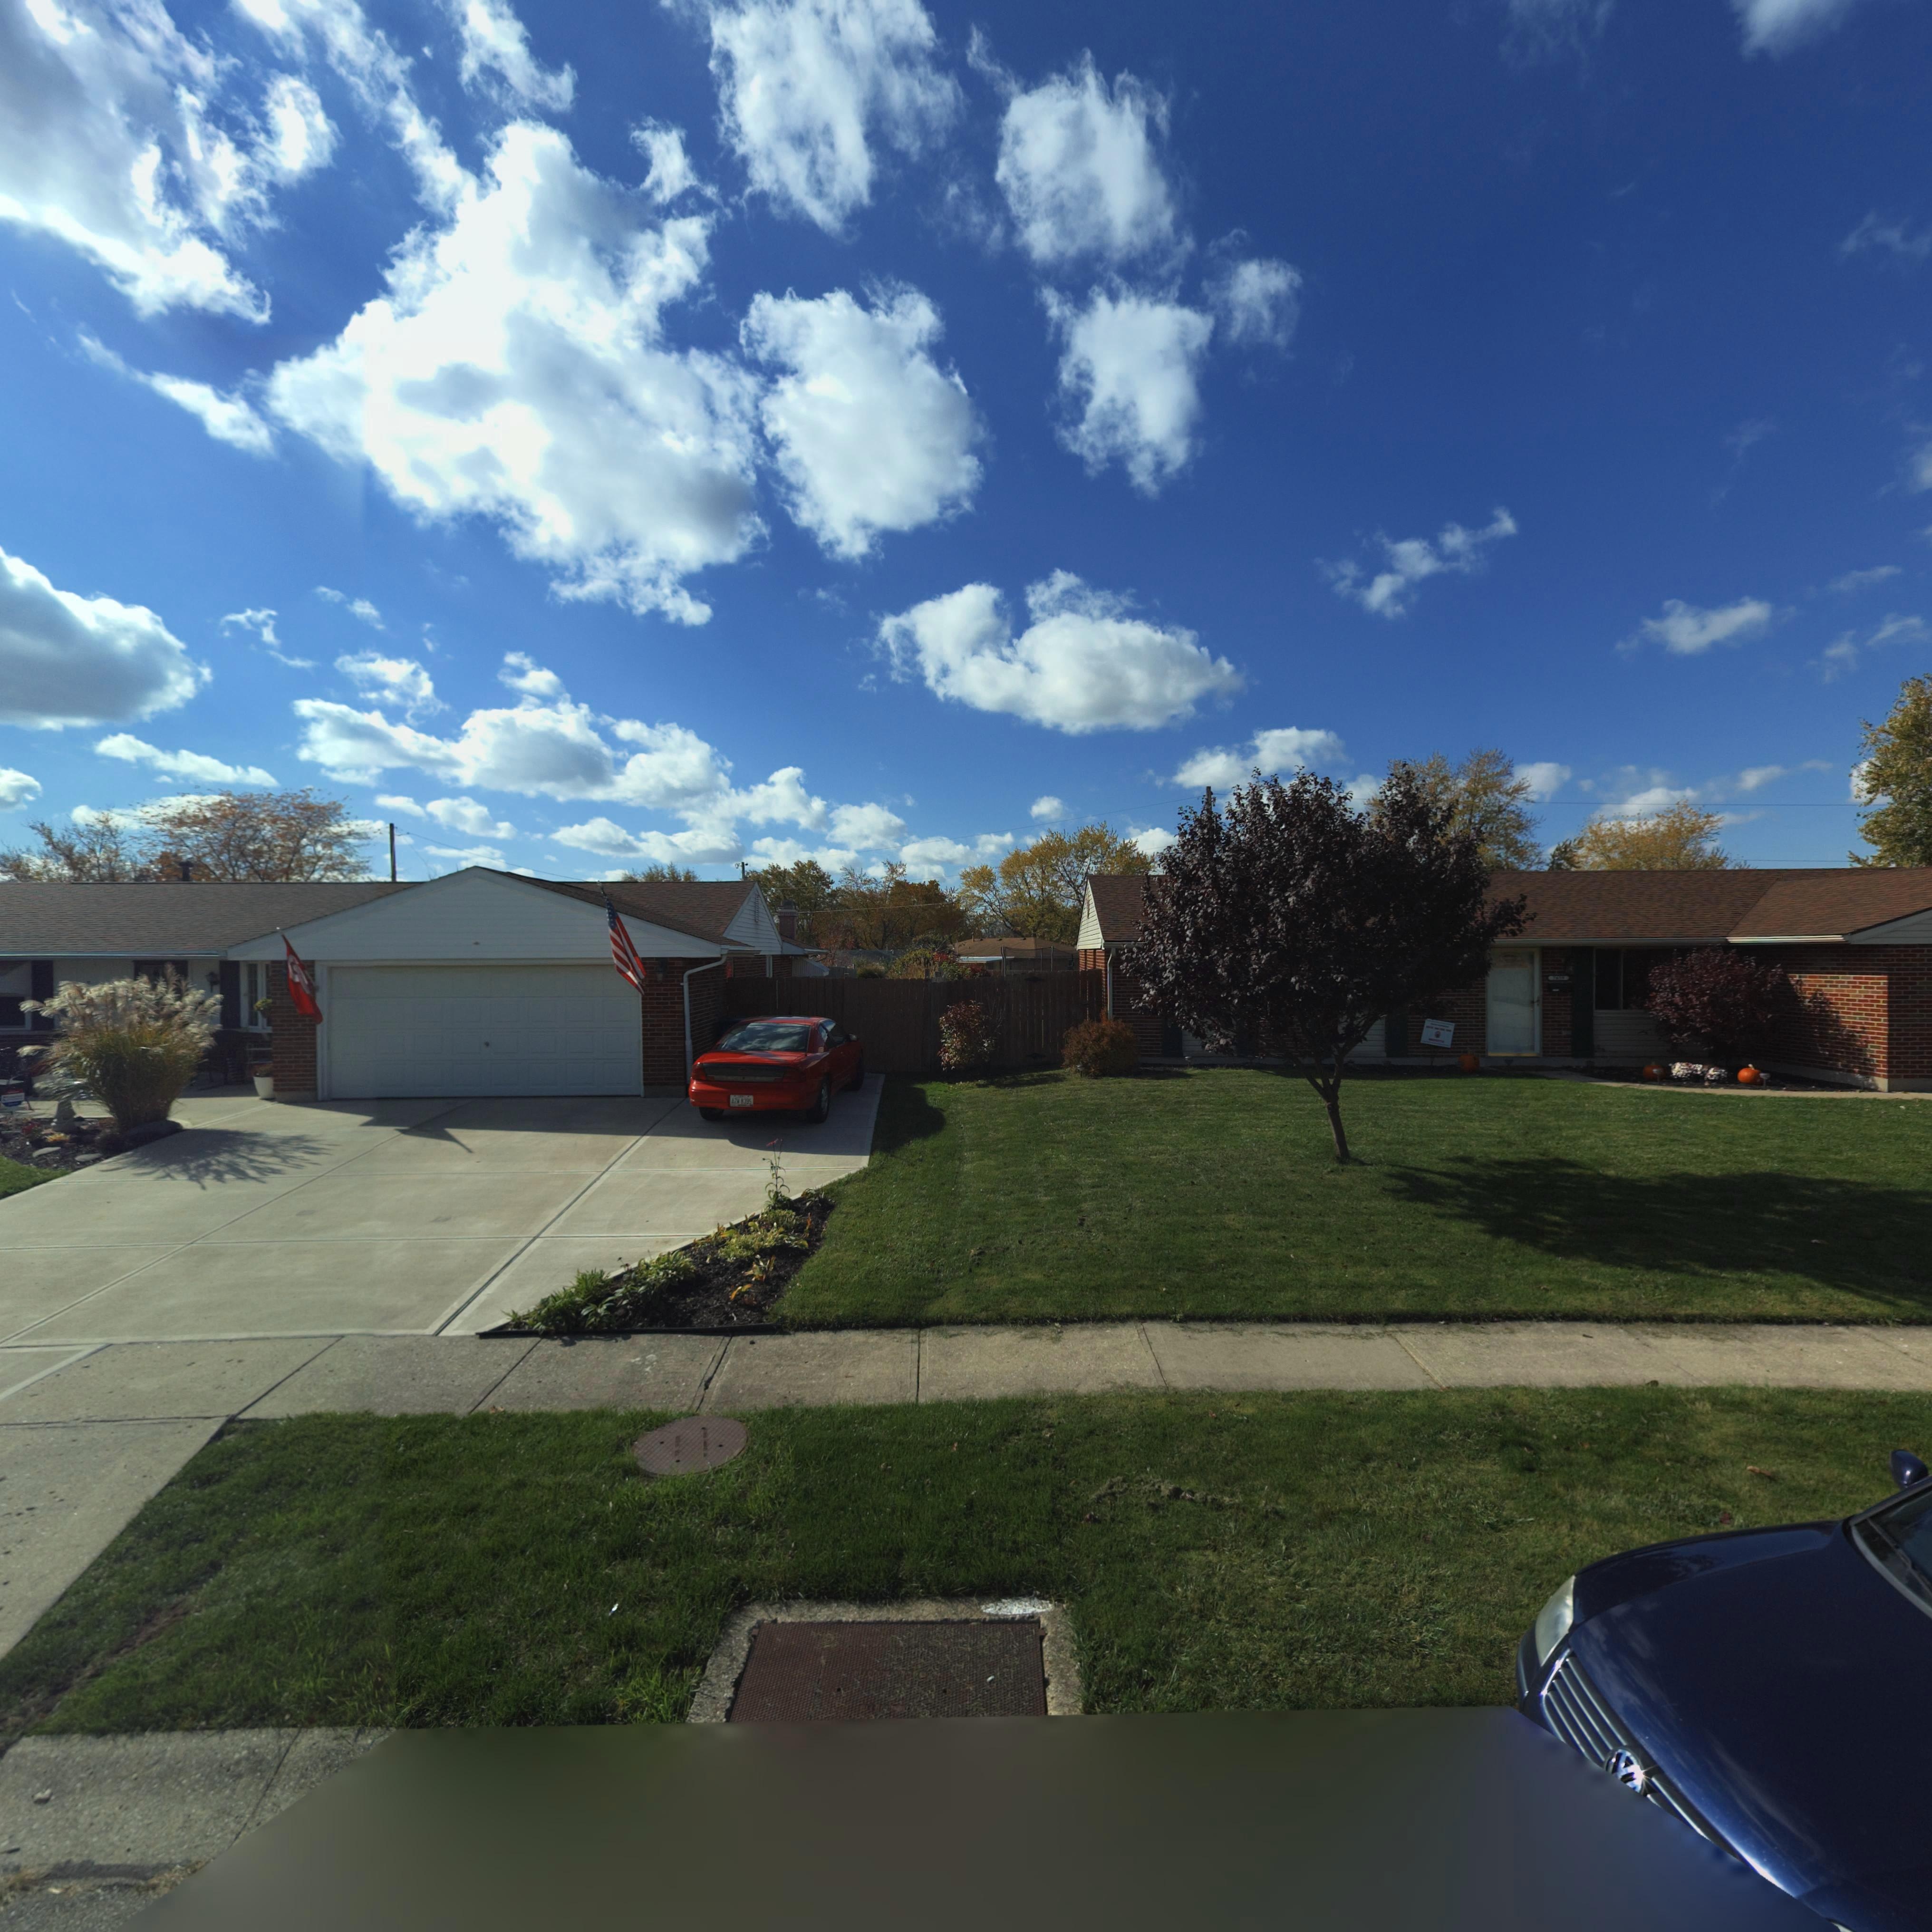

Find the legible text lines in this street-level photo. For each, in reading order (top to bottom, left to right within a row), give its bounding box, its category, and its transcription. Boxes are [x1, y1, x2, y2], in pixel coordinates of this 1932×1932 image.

[1552, 976, 1565, 980] StreetNumber: 765*